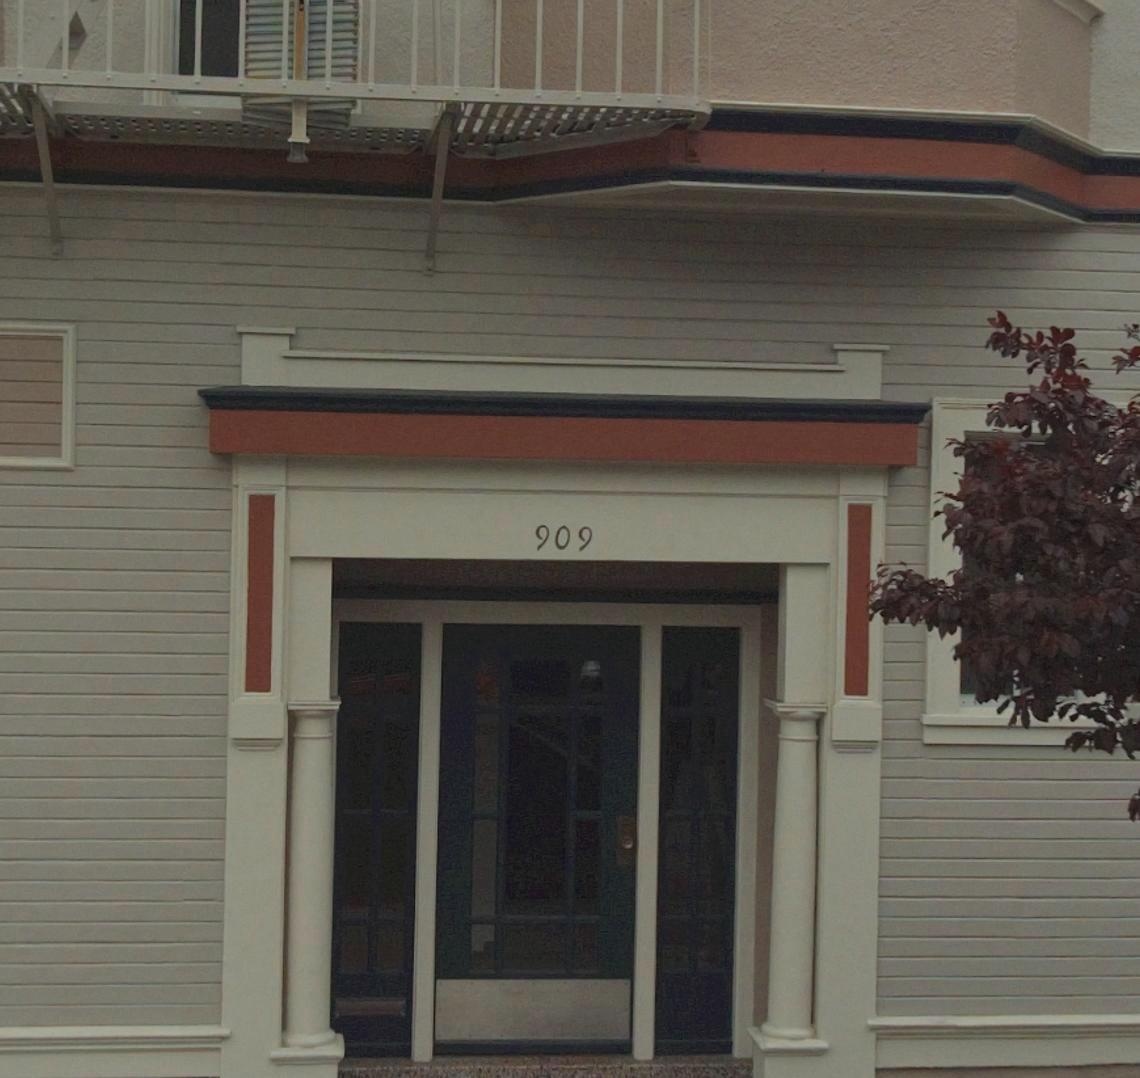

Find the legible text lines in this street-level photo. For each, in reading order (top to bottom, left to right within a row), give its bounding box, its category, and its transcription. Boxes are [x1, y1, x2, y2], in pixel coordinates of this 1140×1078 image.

[534, 522, 594, 553] StreetNumber: 909